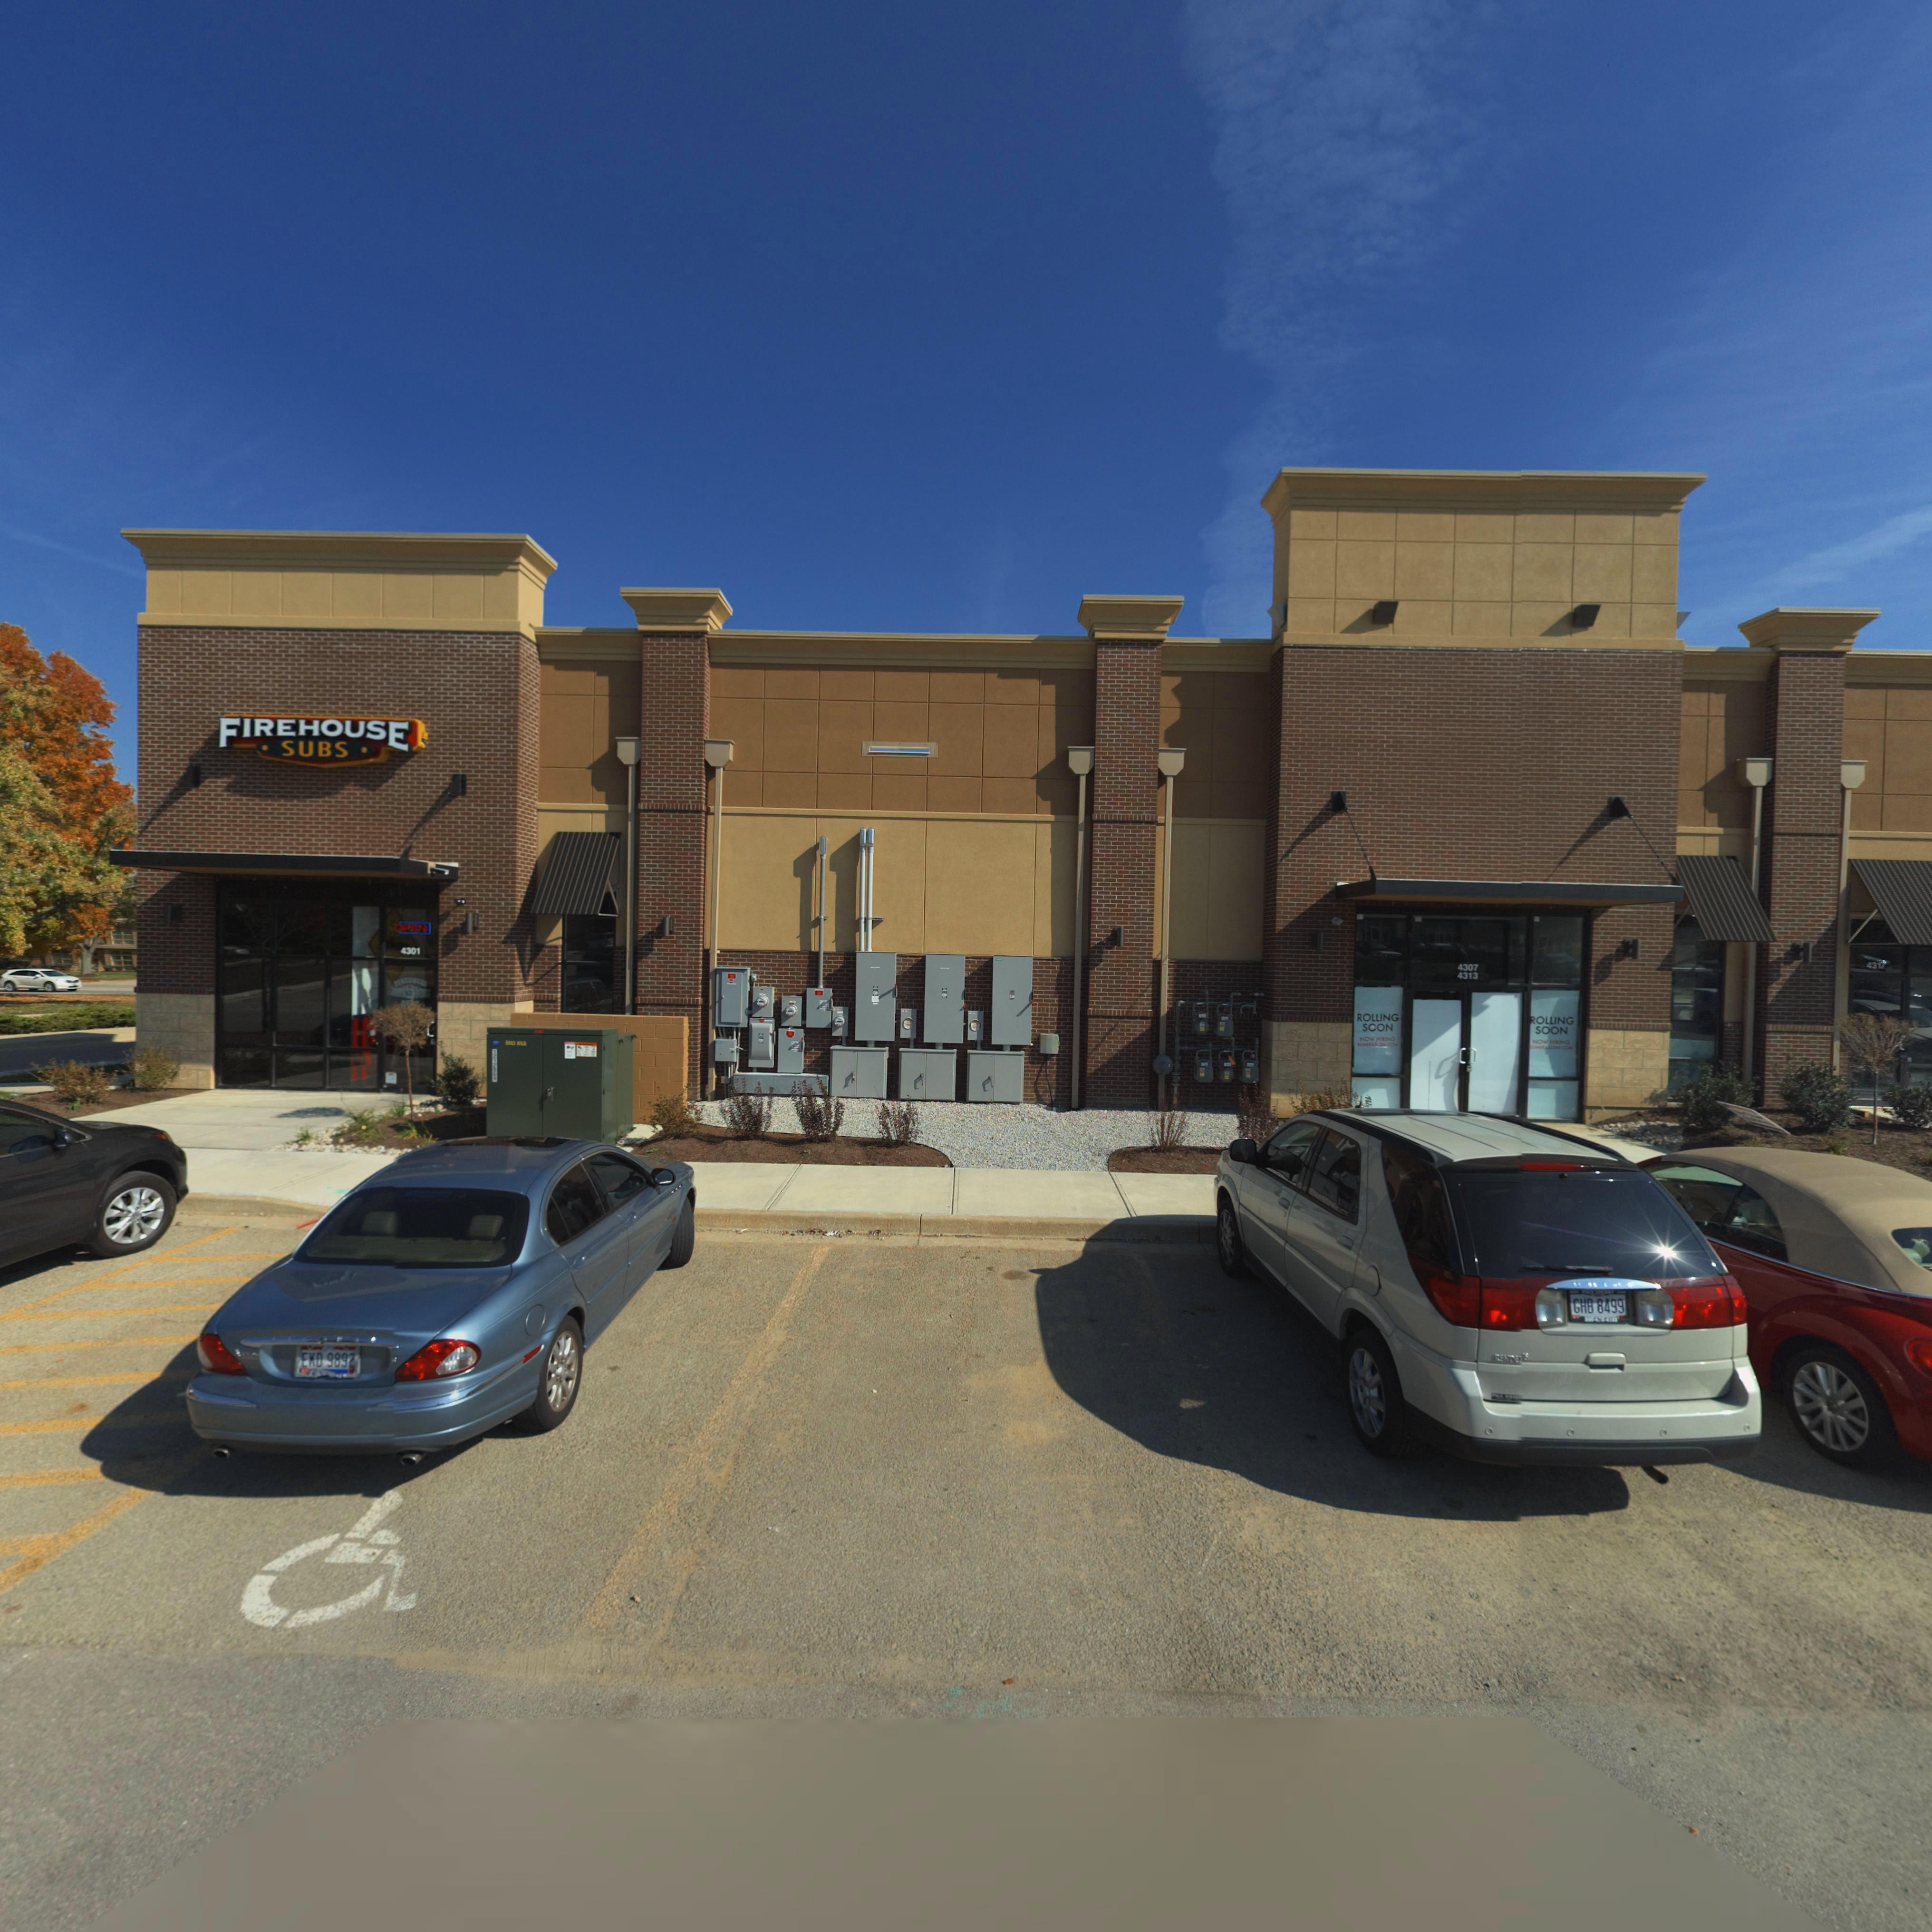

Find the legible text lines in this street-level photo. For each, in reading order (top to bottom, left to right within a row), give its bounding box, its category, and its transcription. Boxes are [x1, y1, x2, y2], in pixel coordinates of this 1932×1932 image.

[217, 715, 410, 753] BusinessName: FIREHOUSE
[280, 739, 350, 760] BusinessName: SUBS
[399, 946, 422, 956] StreetNumber: 4301
[1456, 962, 1480, 972] StreetNumber: 4307
[1455, 971, 1480, 981] StreetNumber: 4313